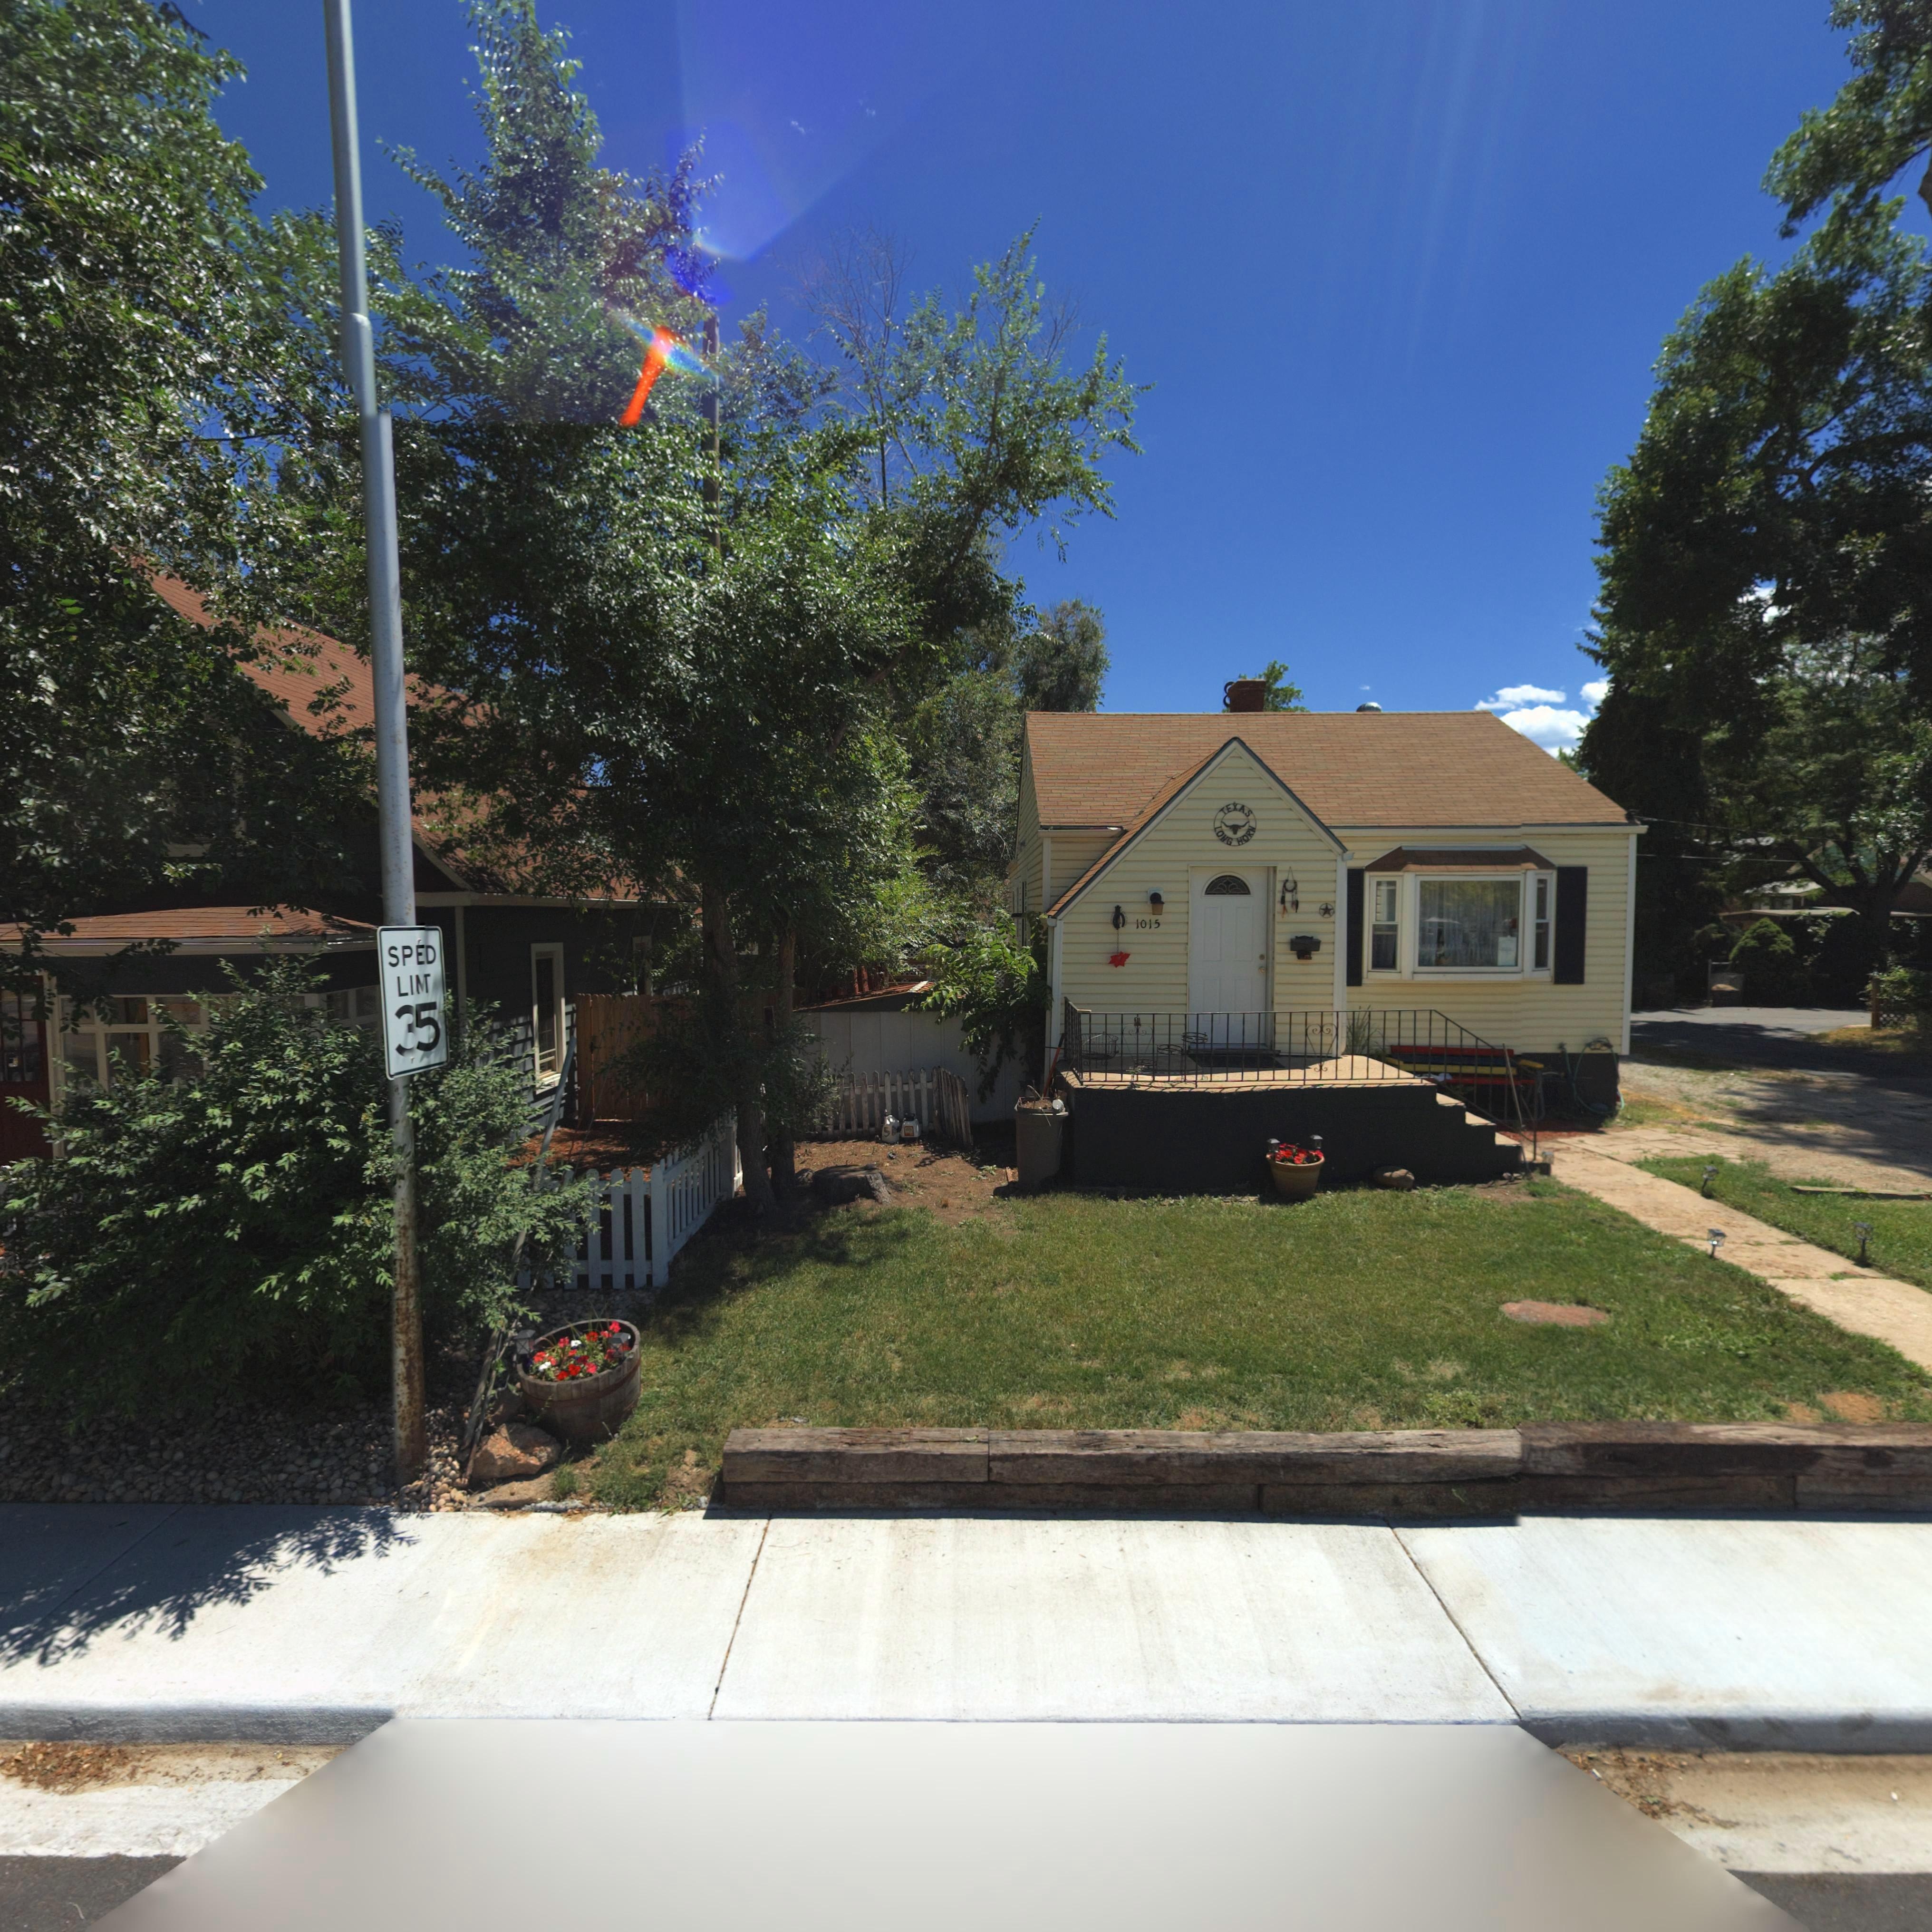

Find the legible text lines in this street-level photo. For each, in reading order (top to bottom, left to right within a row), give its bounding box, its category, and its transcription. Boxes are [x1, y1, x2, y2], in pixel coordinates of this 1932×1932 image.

[1136, 918, 1160, 929] StreetNumber: 1015